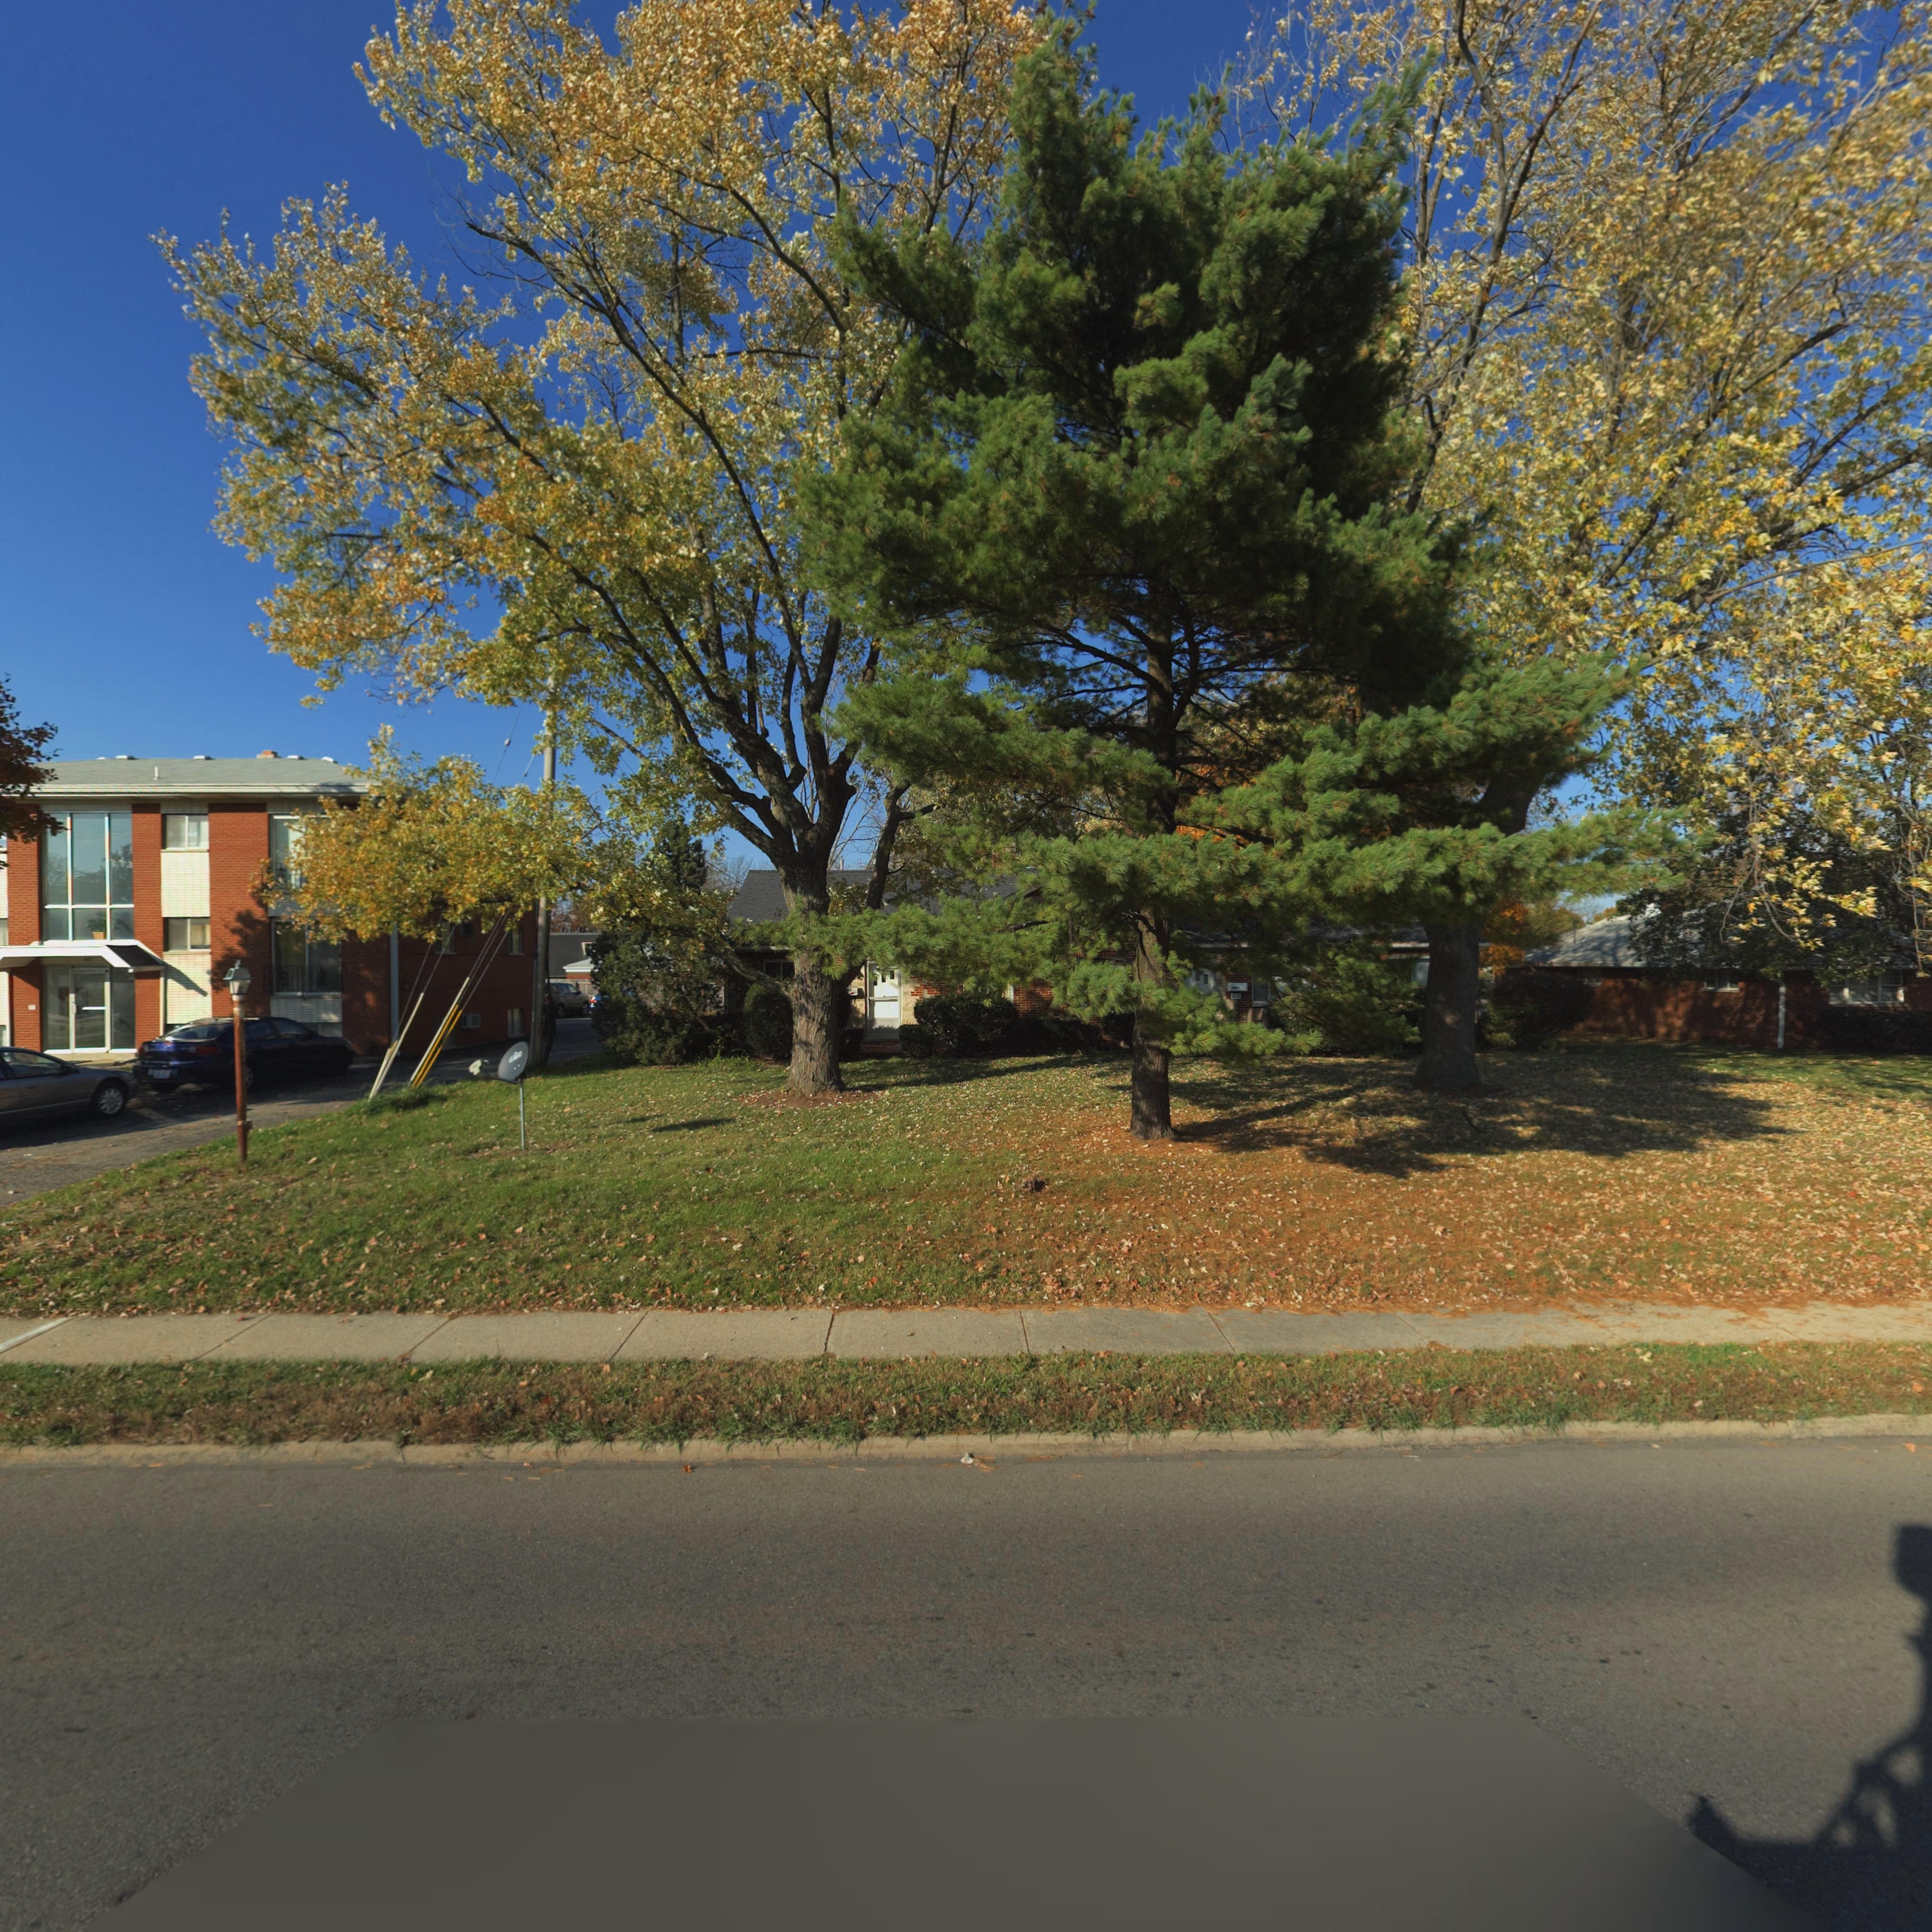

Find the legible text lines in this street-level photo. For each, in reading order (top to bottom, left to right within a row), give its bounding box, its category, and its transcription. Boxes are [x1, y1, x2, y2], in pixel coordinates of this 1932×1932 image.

[1232, 994, 1240, 998] StreetNumber: 613